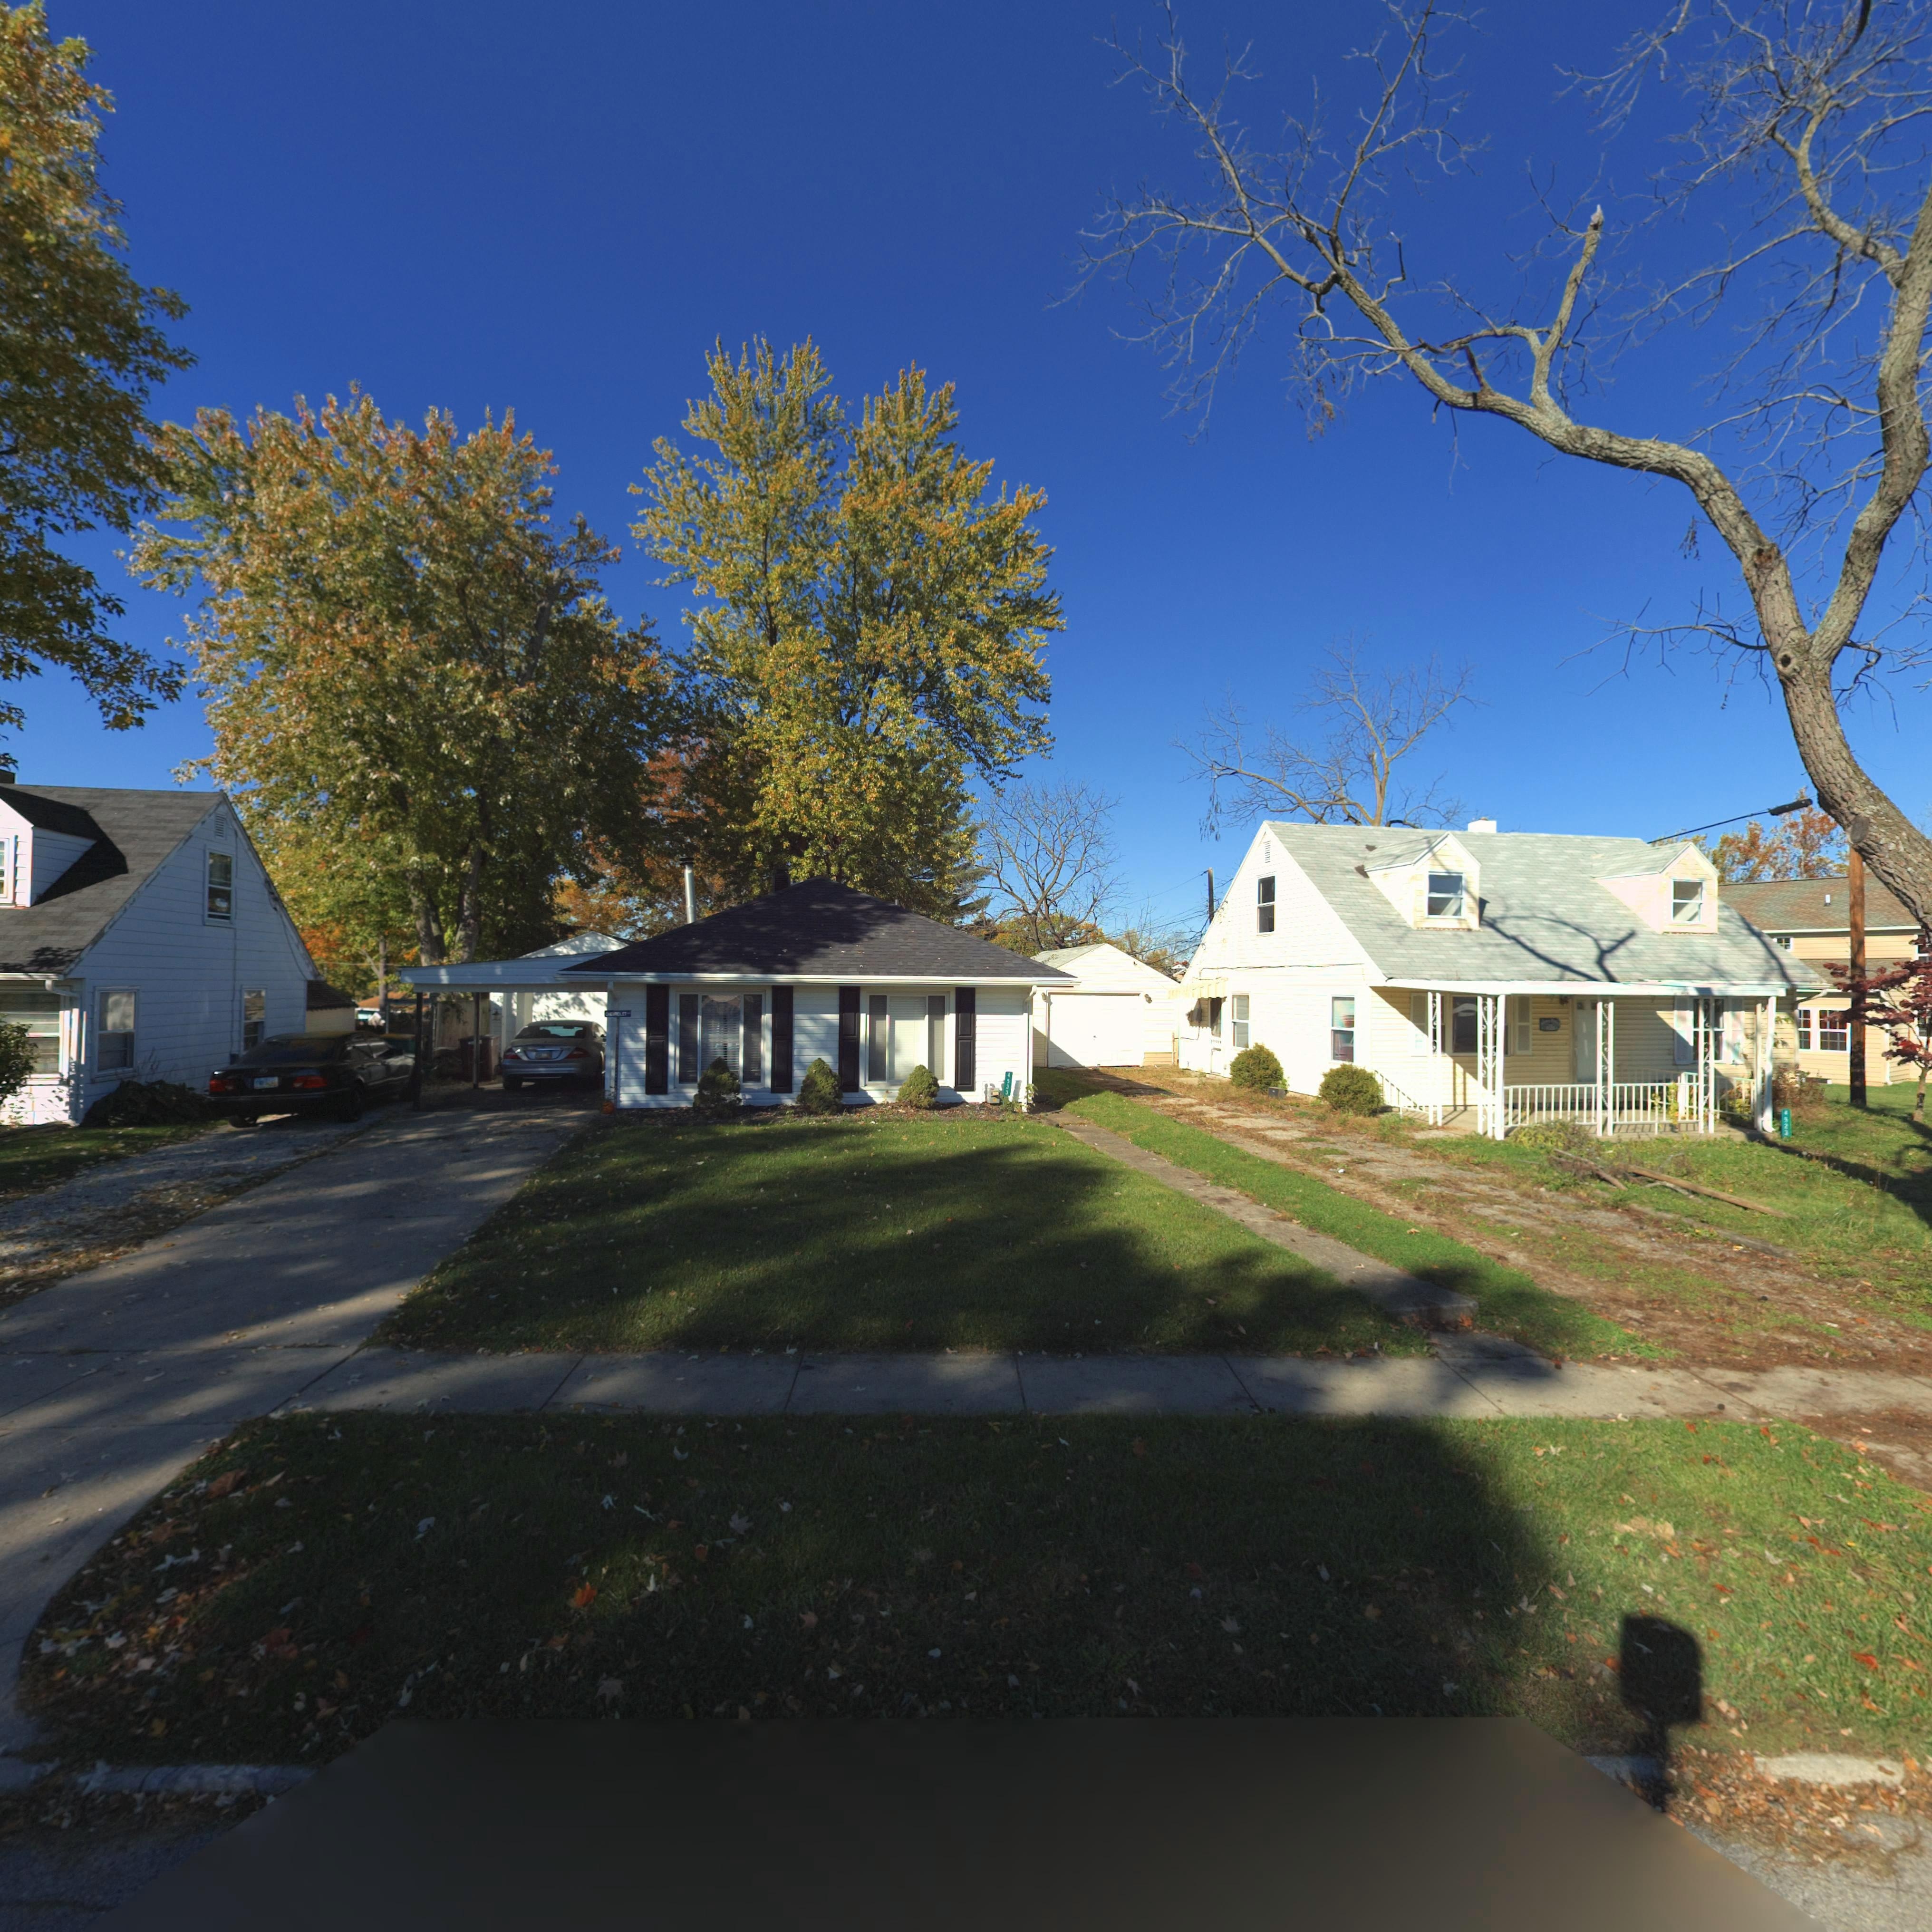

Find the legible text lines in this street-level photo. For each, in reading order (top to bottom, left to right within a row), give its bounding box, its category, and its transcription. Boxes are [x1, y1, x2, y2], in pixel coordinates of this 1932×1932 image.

[1005, 1072, 1011, 1095] StreetNumber: 4533
[1784, 1110, 1789, 1136] StreetNumber: *523